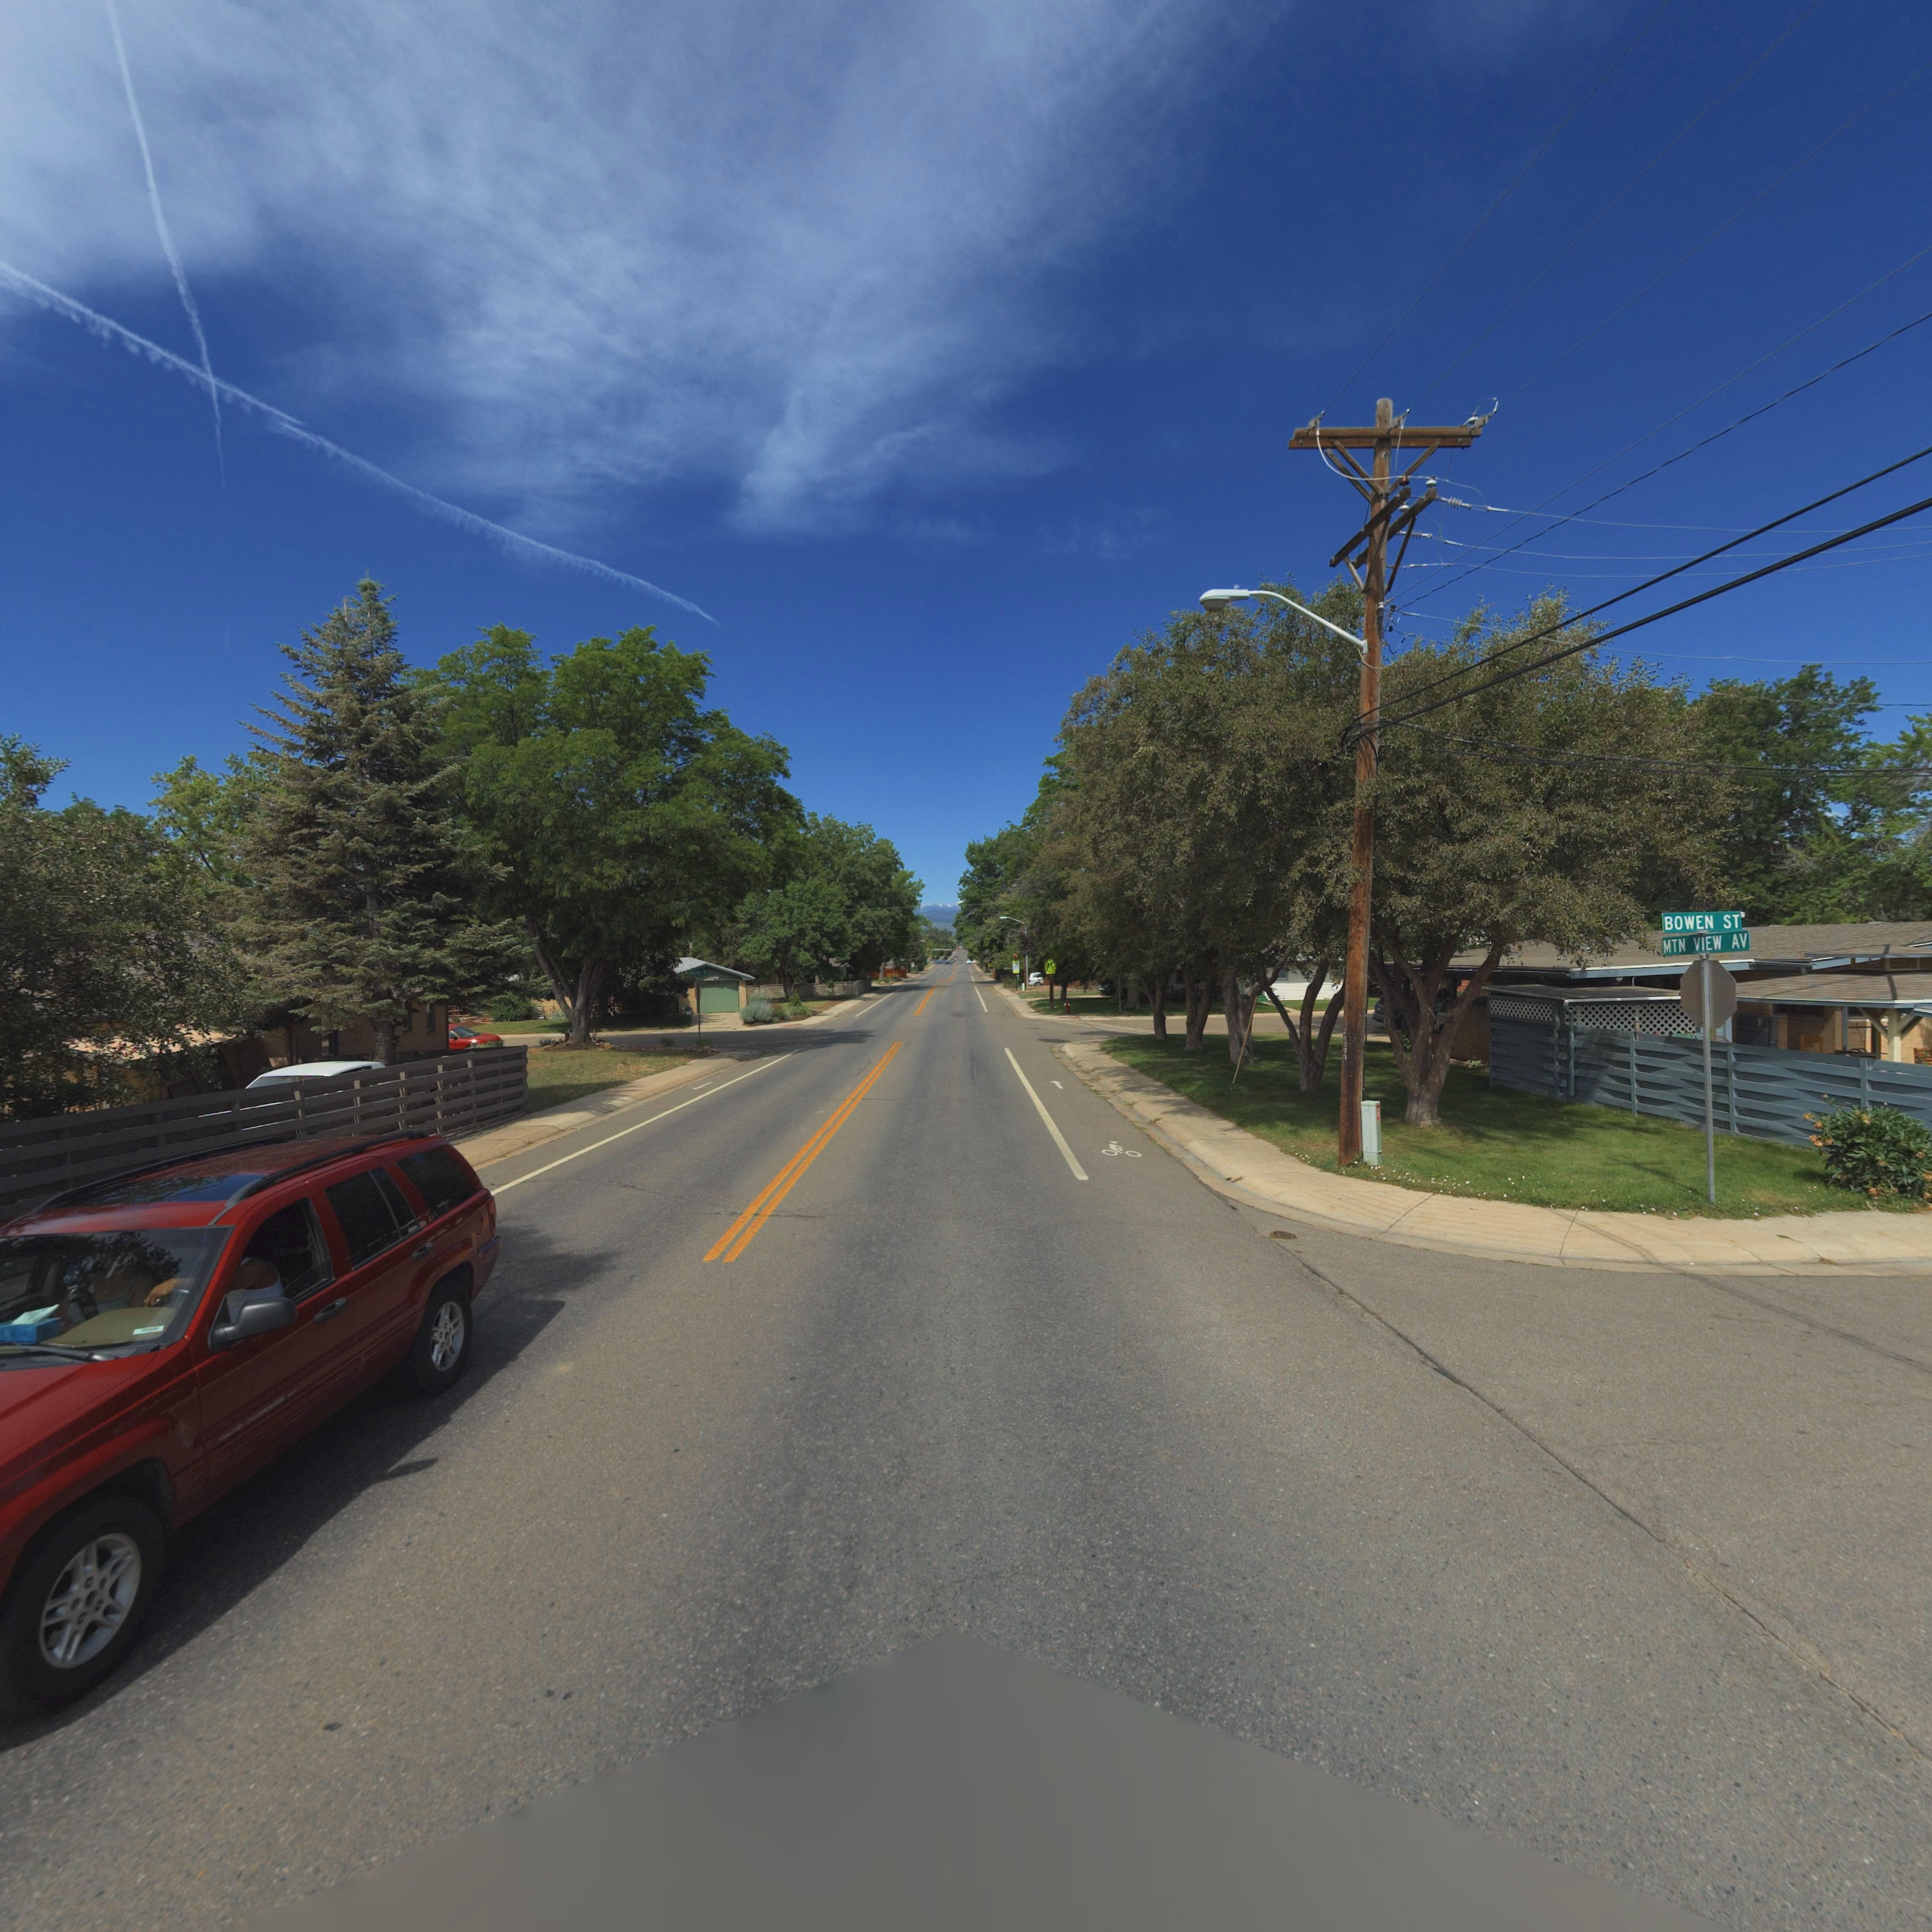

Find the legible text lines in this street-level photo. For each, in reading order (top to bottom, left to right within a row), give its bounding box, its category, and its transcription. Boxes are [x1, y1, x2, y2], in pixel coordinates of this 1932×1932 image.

[1663, 914, 1740, 930] StreetName: BOWEN ST
[1662, 932, 1748, 954] StreetName: MTN VIEW AV